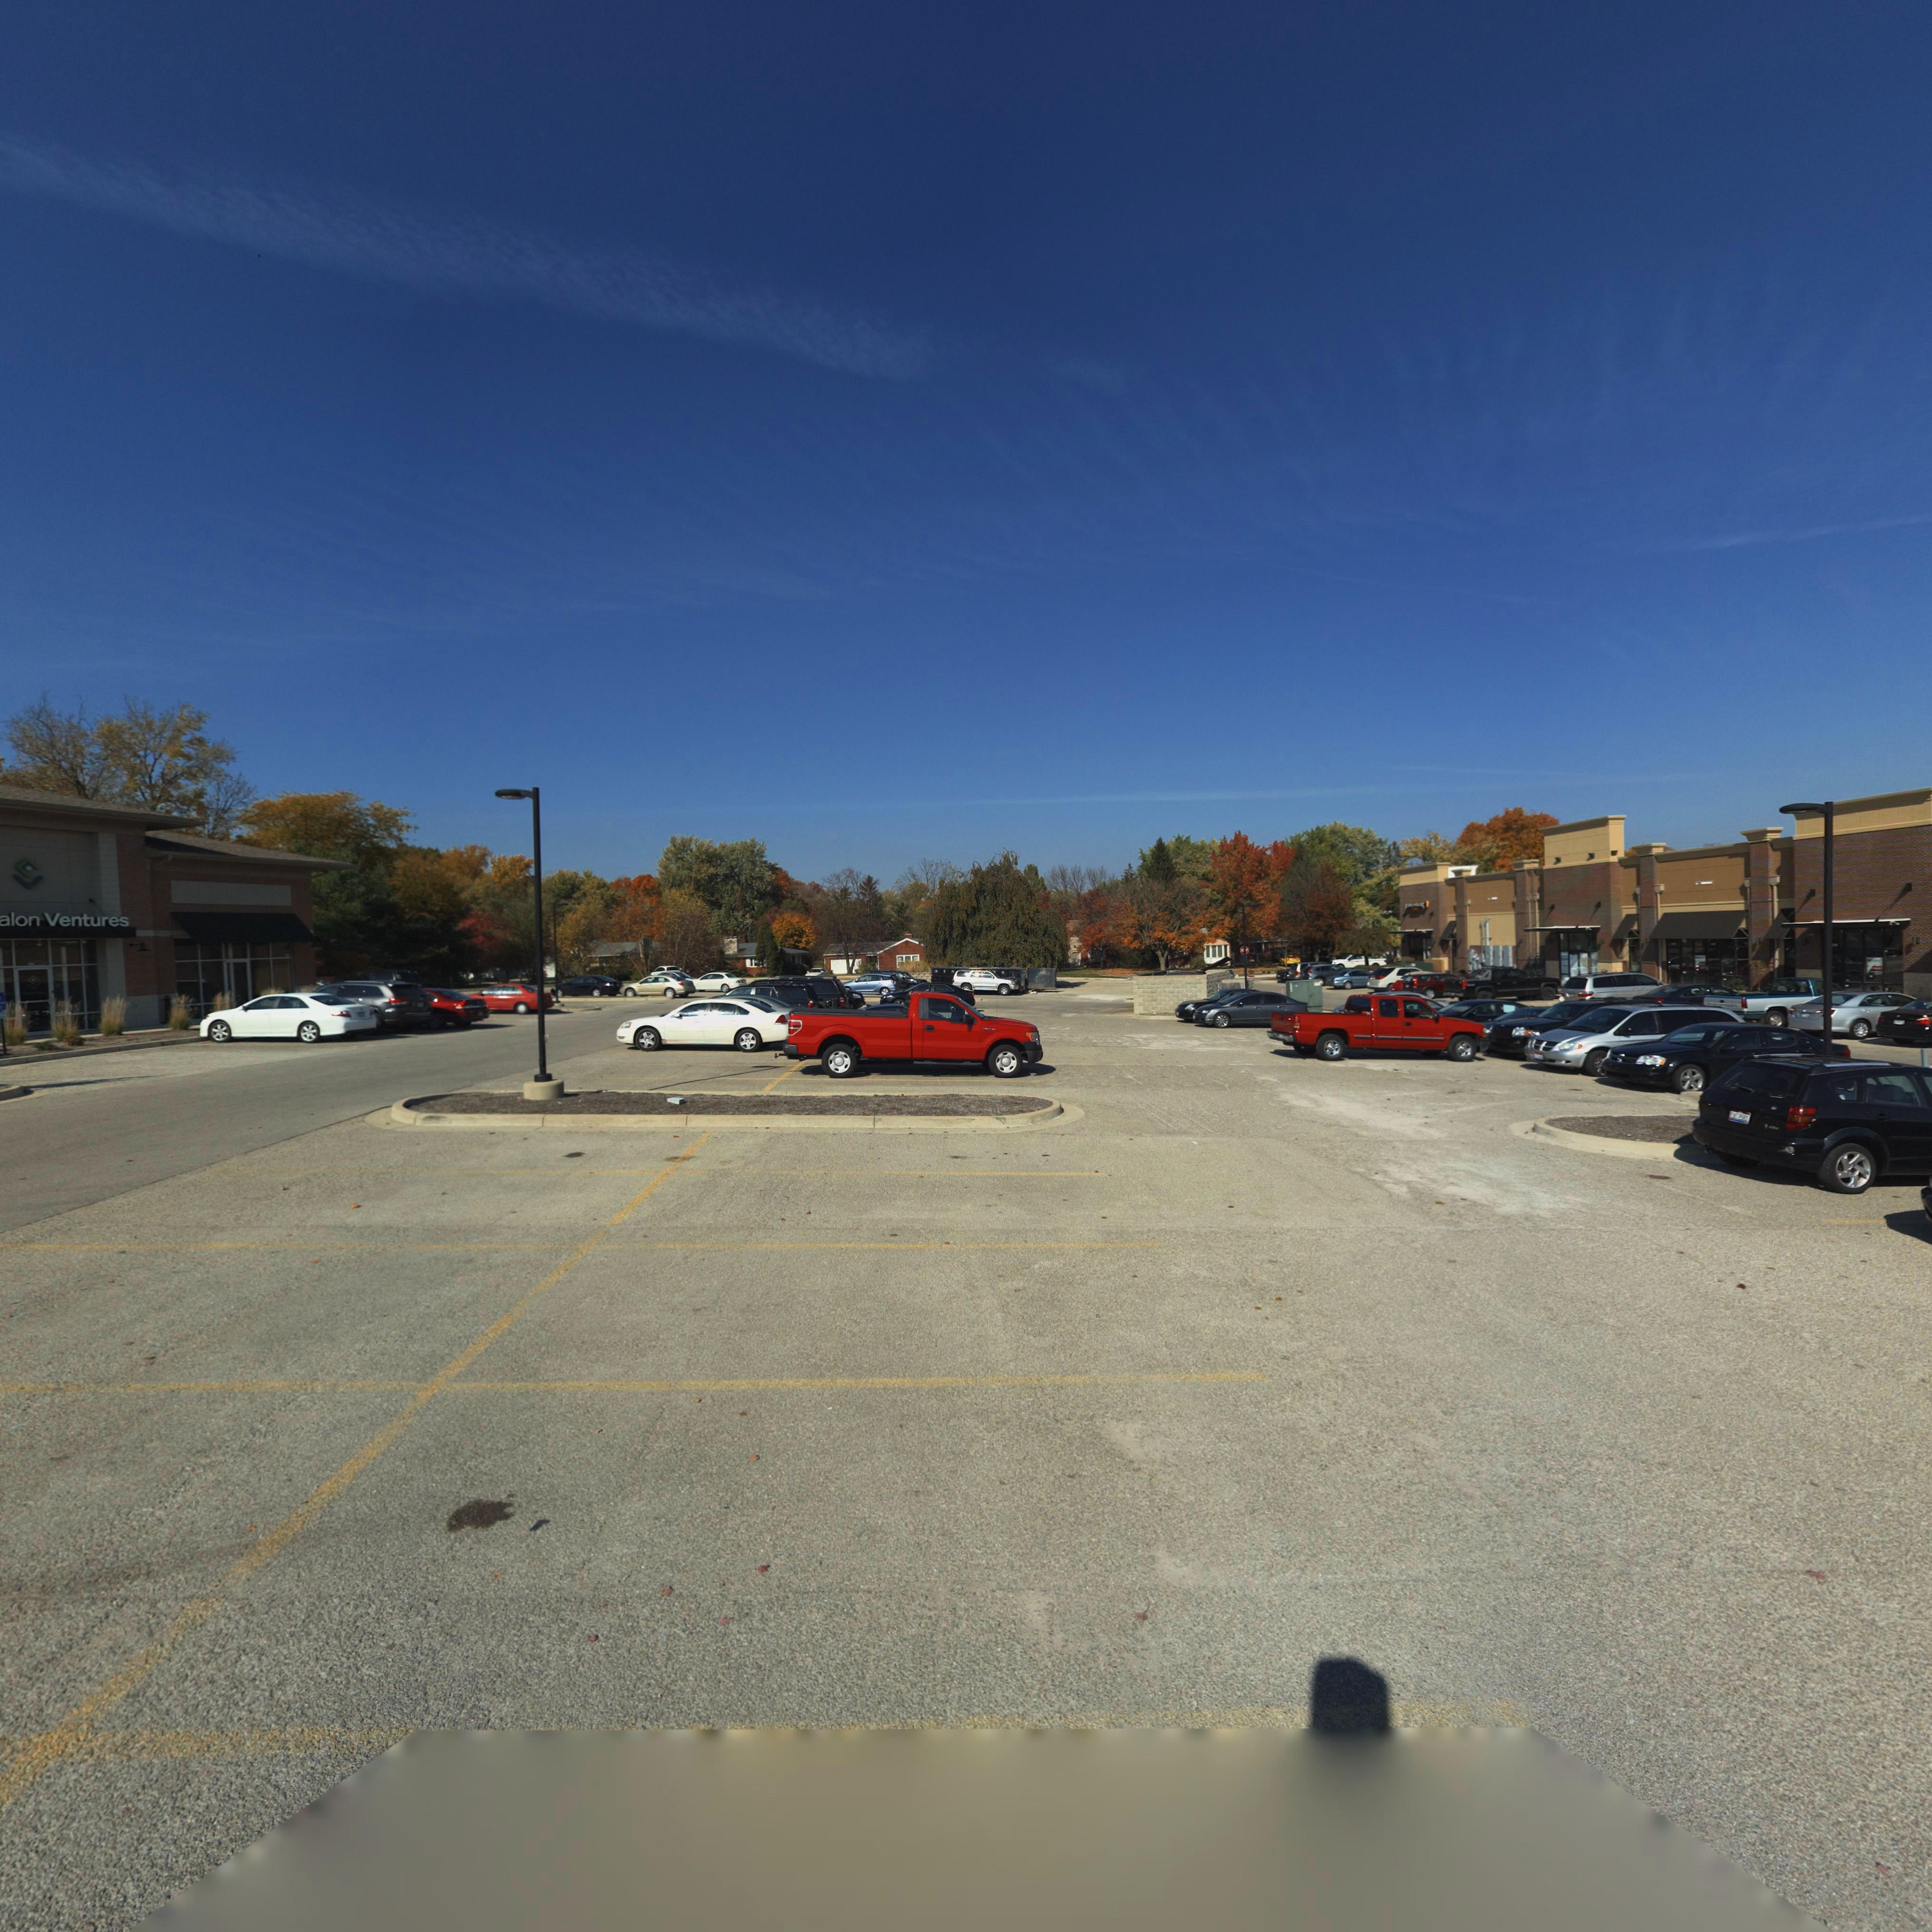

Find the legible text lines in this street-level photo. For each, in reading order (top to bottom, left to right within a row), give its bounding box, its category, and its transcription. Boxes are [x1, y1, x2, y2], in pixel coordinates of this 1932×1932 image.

[10, 911, 131, 928] BusinessName: lon Ventures